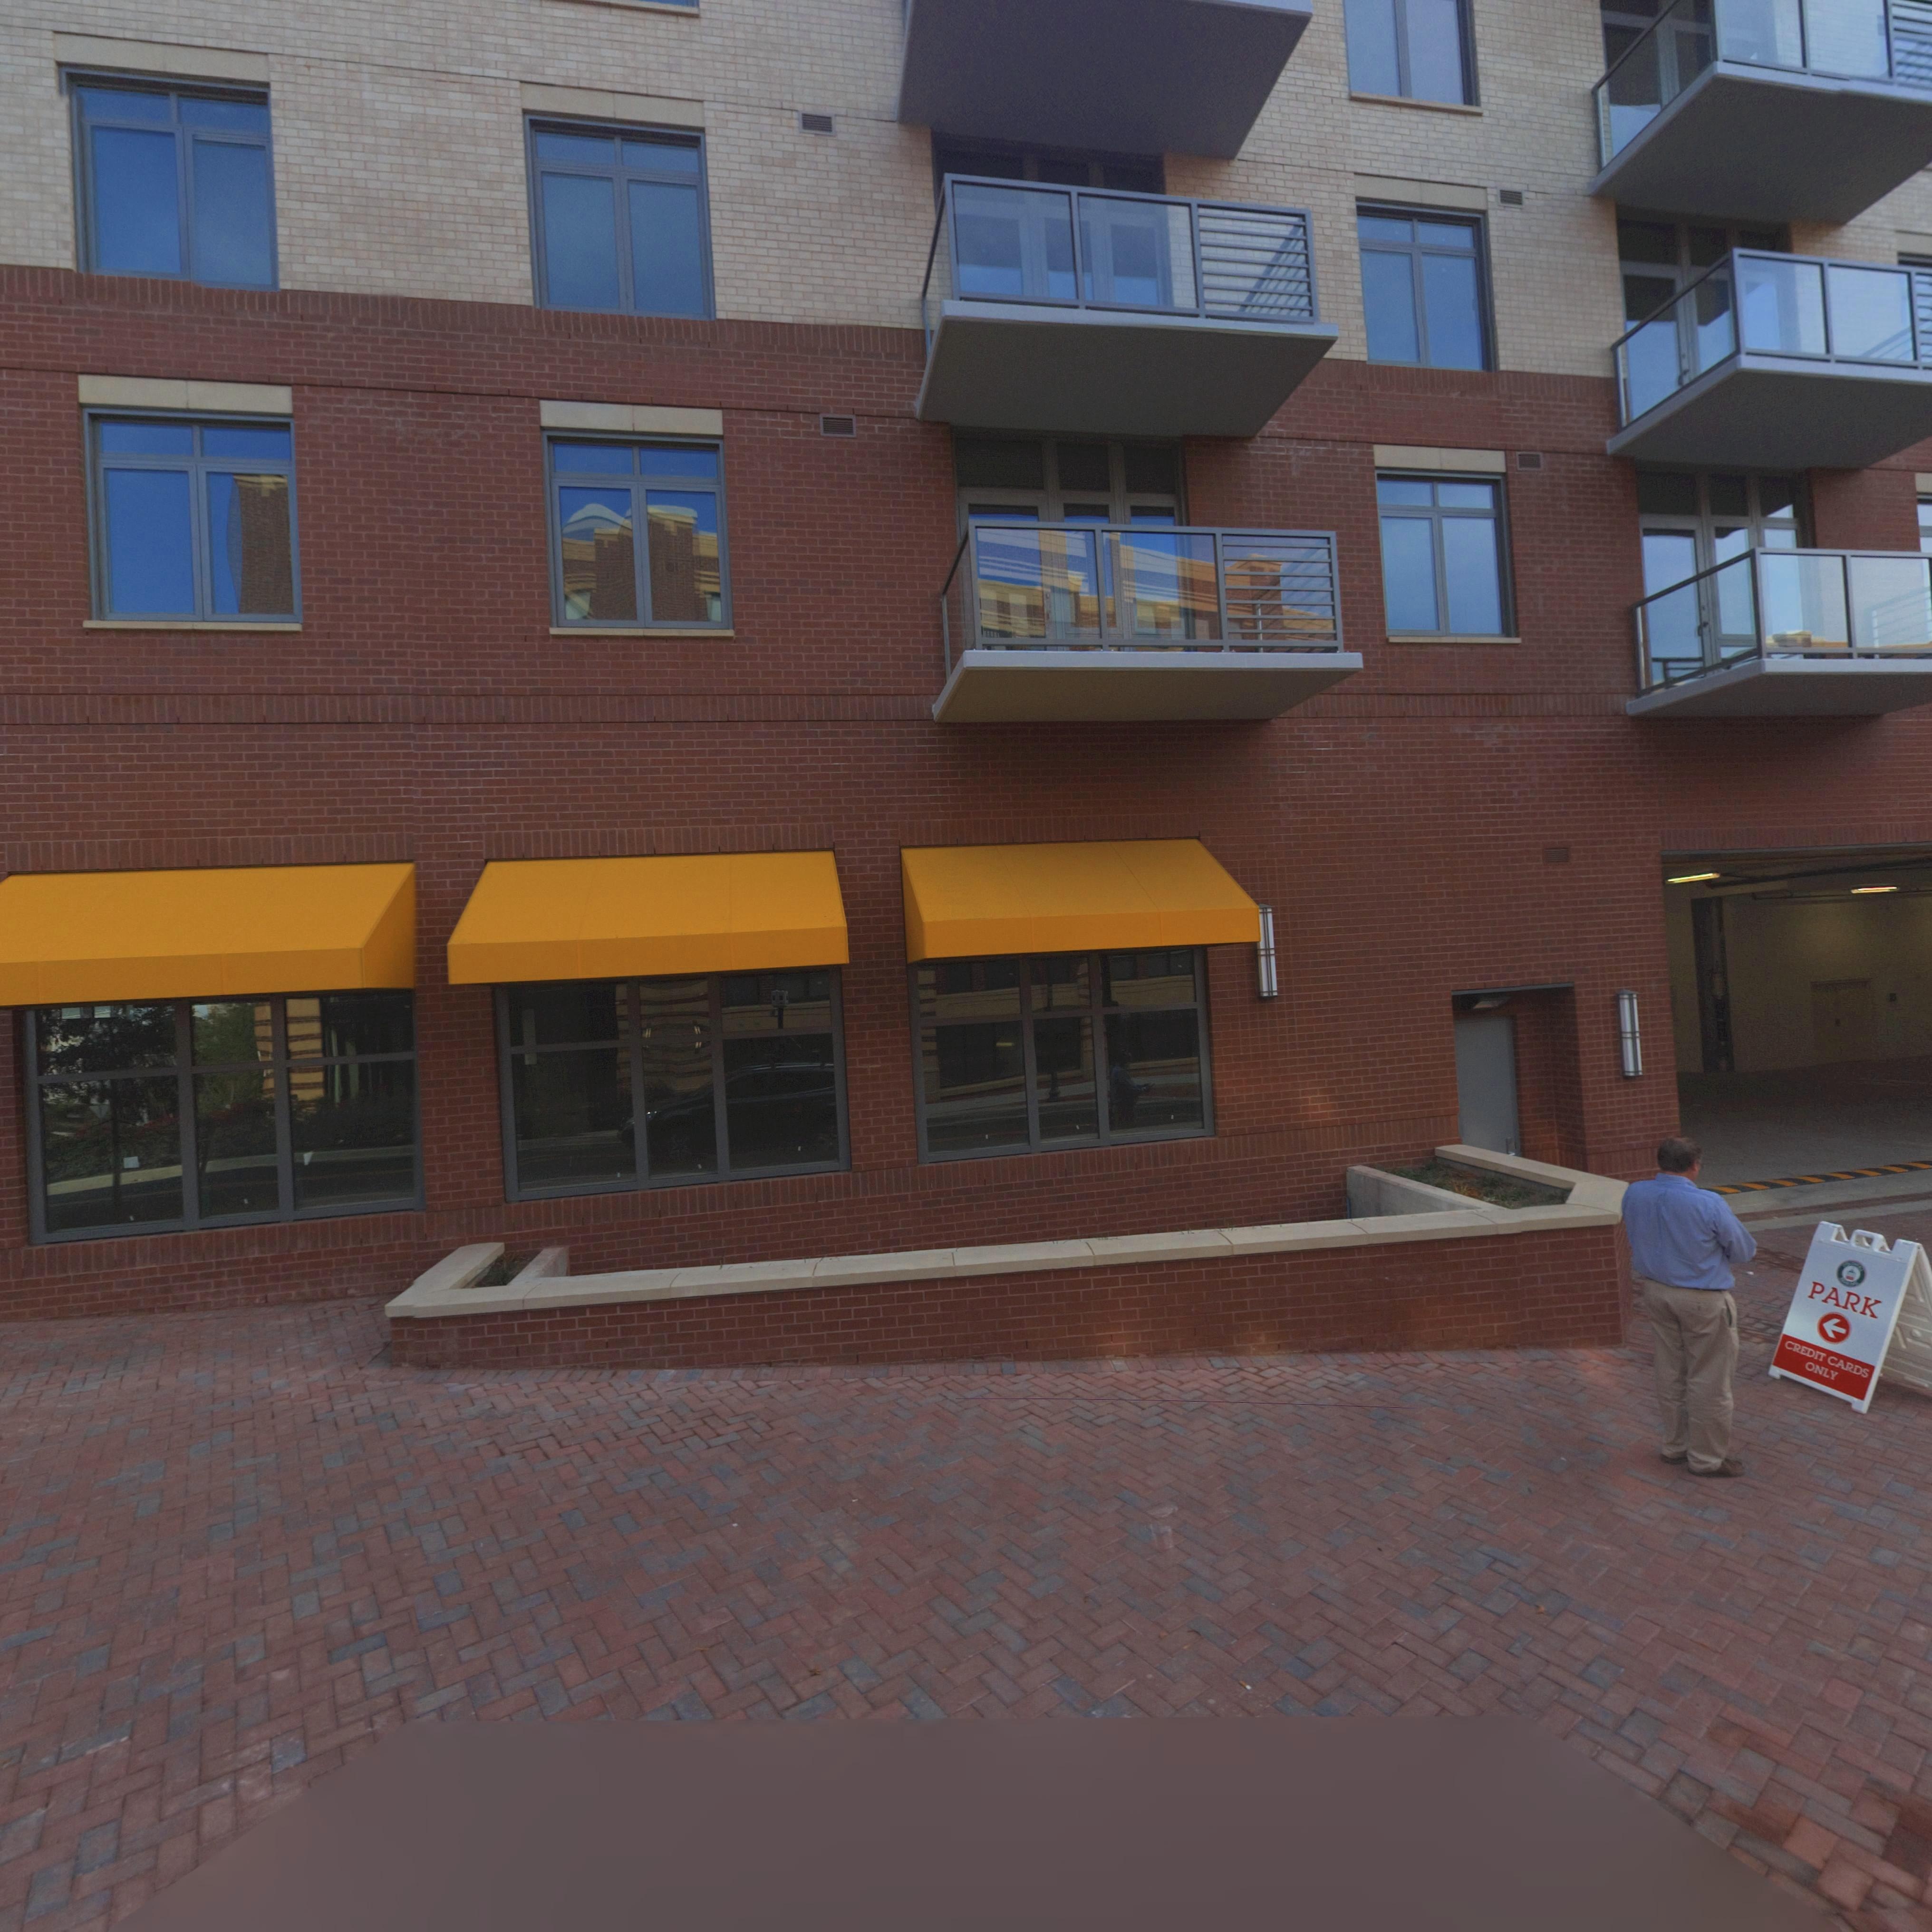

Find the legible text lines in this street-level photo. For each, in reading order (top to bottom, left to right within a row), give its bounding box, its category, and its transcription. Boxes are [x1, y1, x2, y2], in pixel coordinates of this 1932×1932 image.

[1806, 1280, 1884, 1321] None: PARK
[1804, 1361, 1840, 1381] None: ONLY
[1784, 1339, 1871, 1379] None: CREDIT CARDS